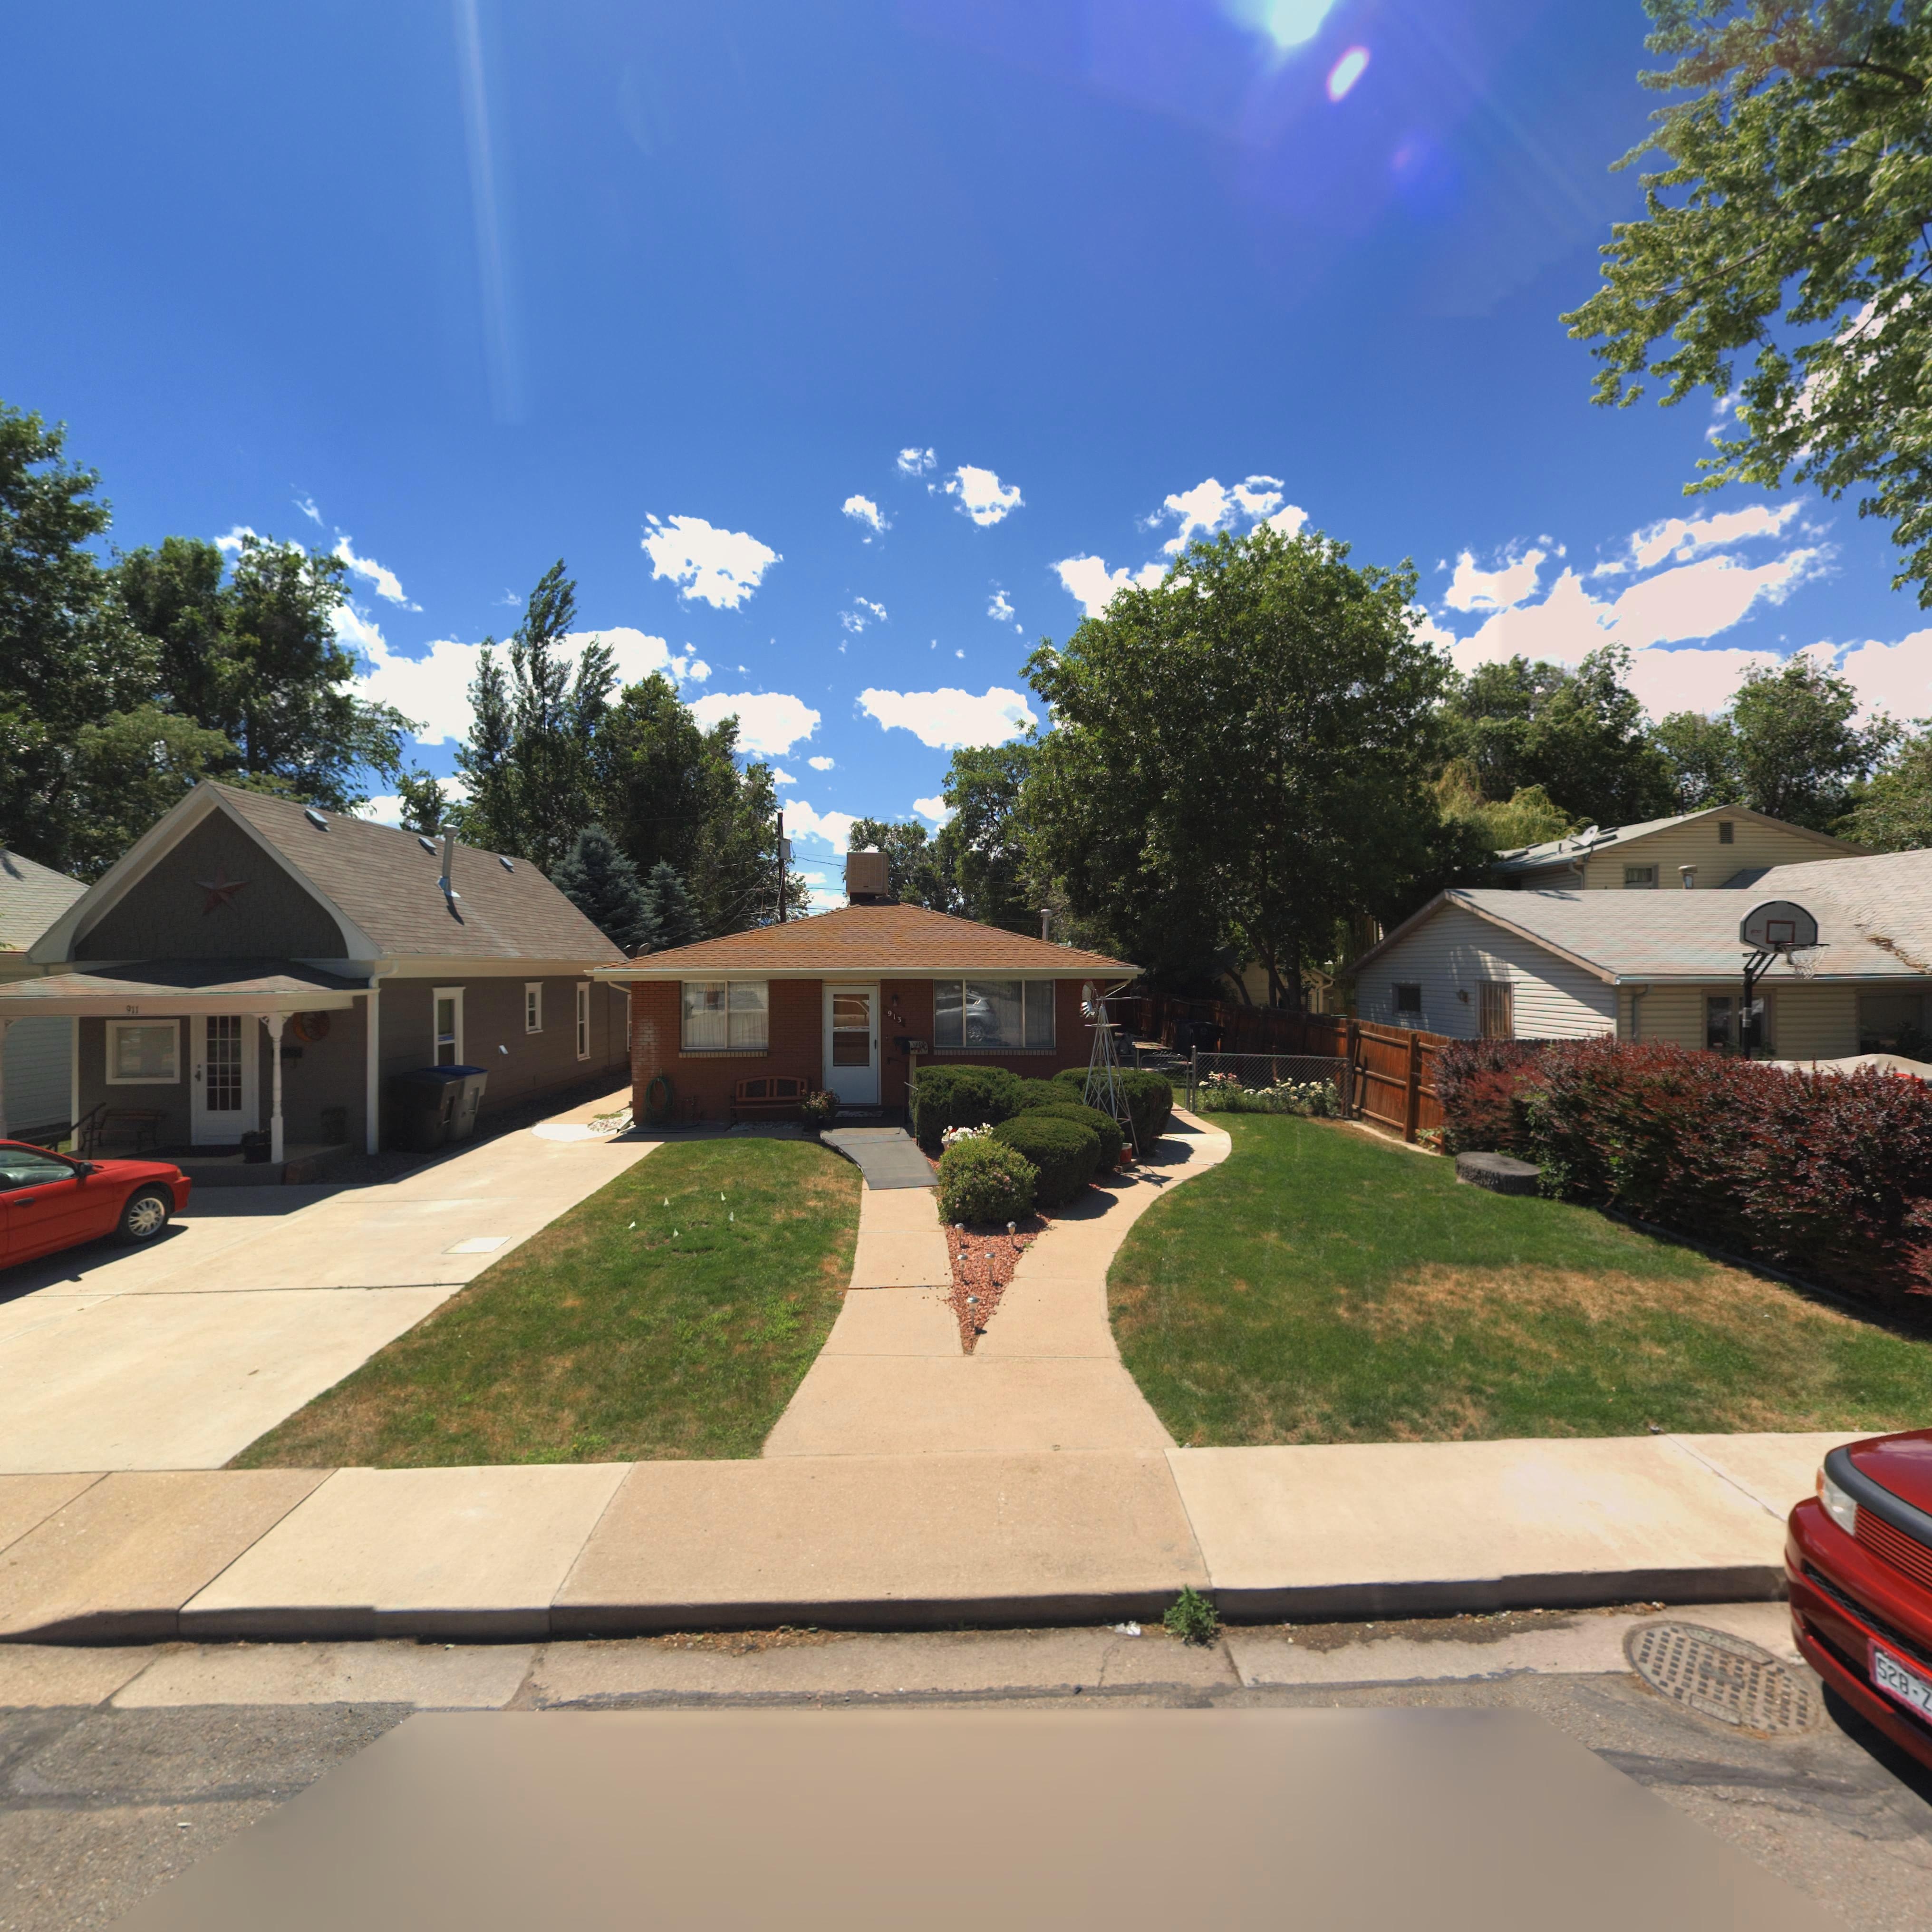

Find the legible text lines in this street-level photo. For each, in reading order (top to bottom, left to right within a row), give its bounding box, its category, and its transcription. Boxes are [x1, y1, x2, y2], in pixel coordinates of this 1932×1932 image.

[126, 1005, 139, 1014] StreetNumber: 911
[887, 1009, 902, 1023] StreetNumber: 913